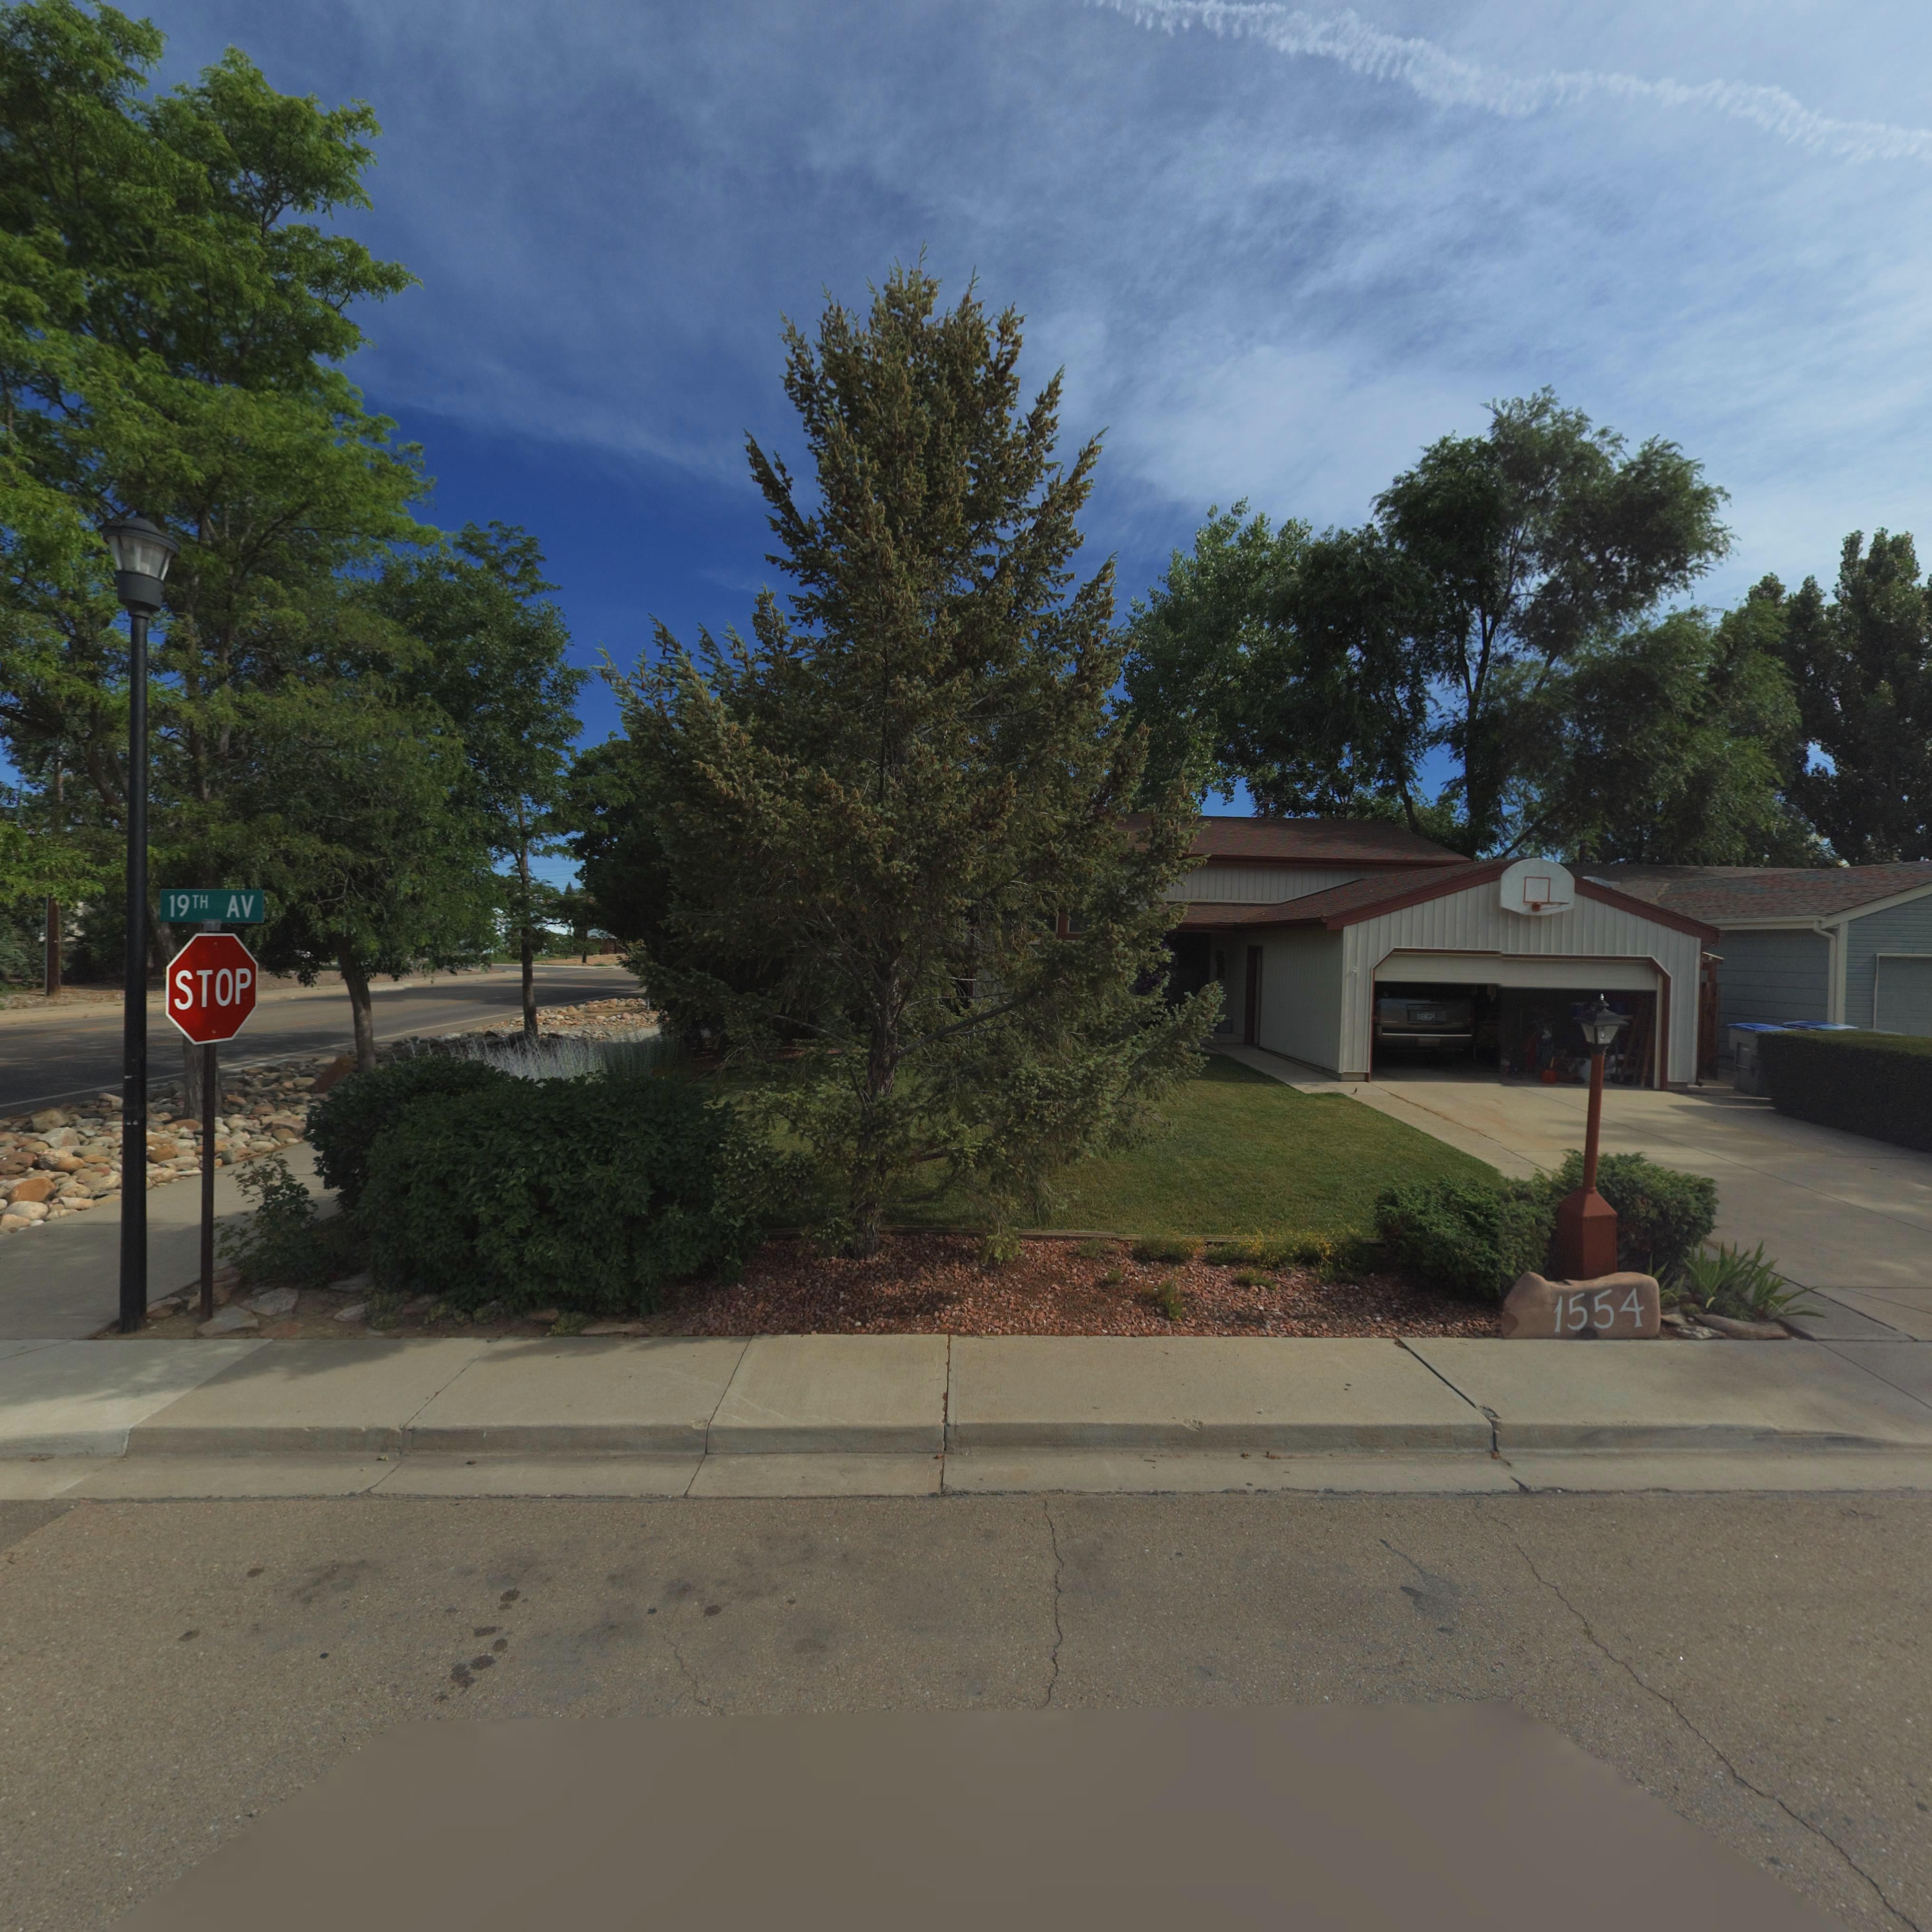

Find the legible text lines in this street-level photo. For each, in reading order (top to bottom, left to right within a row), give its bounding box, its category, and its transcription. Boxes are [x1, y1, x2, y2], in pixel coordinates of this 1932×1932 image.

[169, 893, 256, 918] StreetName: 19TH AV
[1553, 1287, 1645, 1334] StreetNumber: 1554